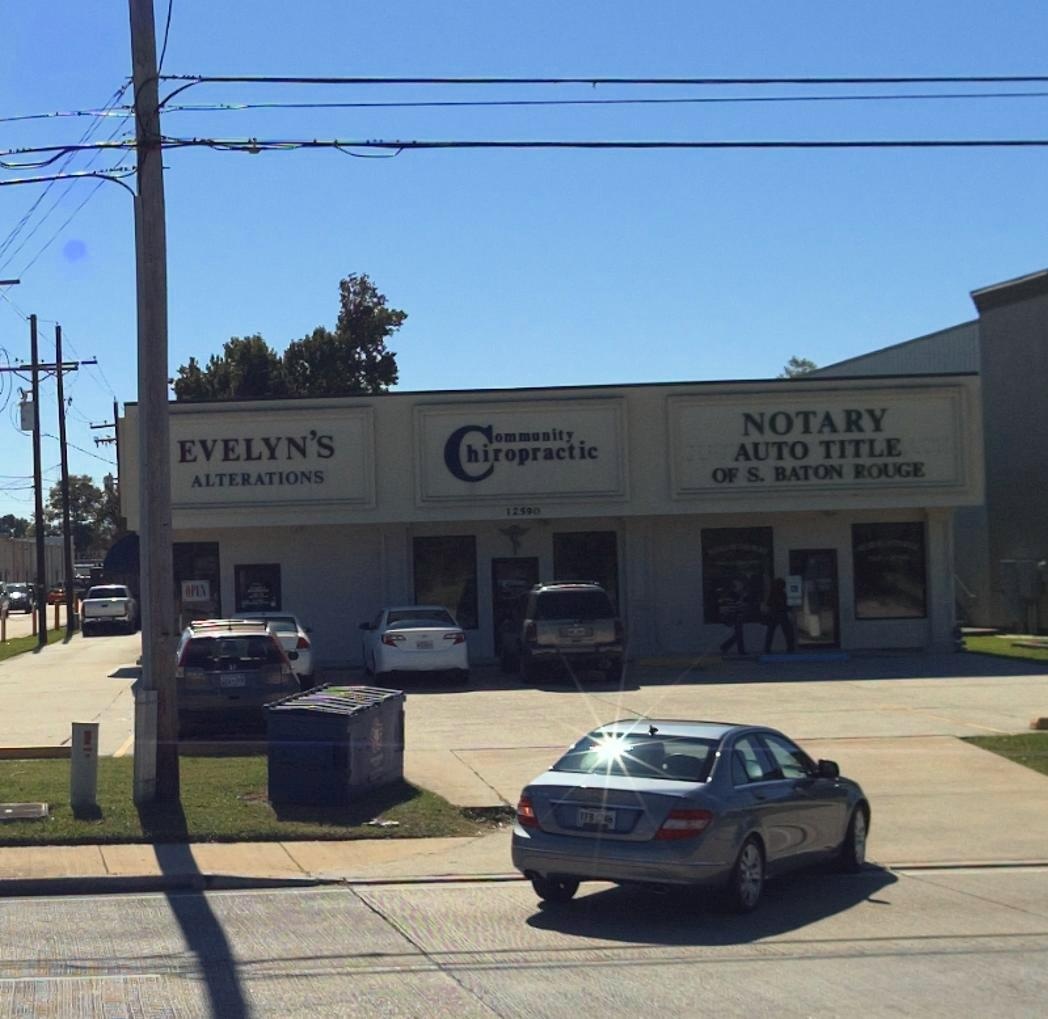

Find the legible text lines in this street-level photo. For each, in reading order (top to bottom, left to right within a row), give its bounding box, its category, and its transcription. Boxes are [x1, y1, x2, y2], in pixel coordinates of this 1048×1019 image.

[741, 407, 889, 438] BusinessName: NOTARY
[175, 428, 335, 464] BusinessName: EVELYN'S
[440, 423, 600, 485] BusinessName: Chiropractic
[494, 430, 575, 443] BusinessName: ommunity
[731, 437, 903, 463] BusinessName: AUTO TITLE
[189, 469, 324, 489] BusinessName: ALTERATIONS
[710, 460, 927, 484] BusinessName: OF S. BATON ROUGE
[506, 506, 542, 517] StreetNumber: 12590
[185, 584, 208, 598] None: OPEN